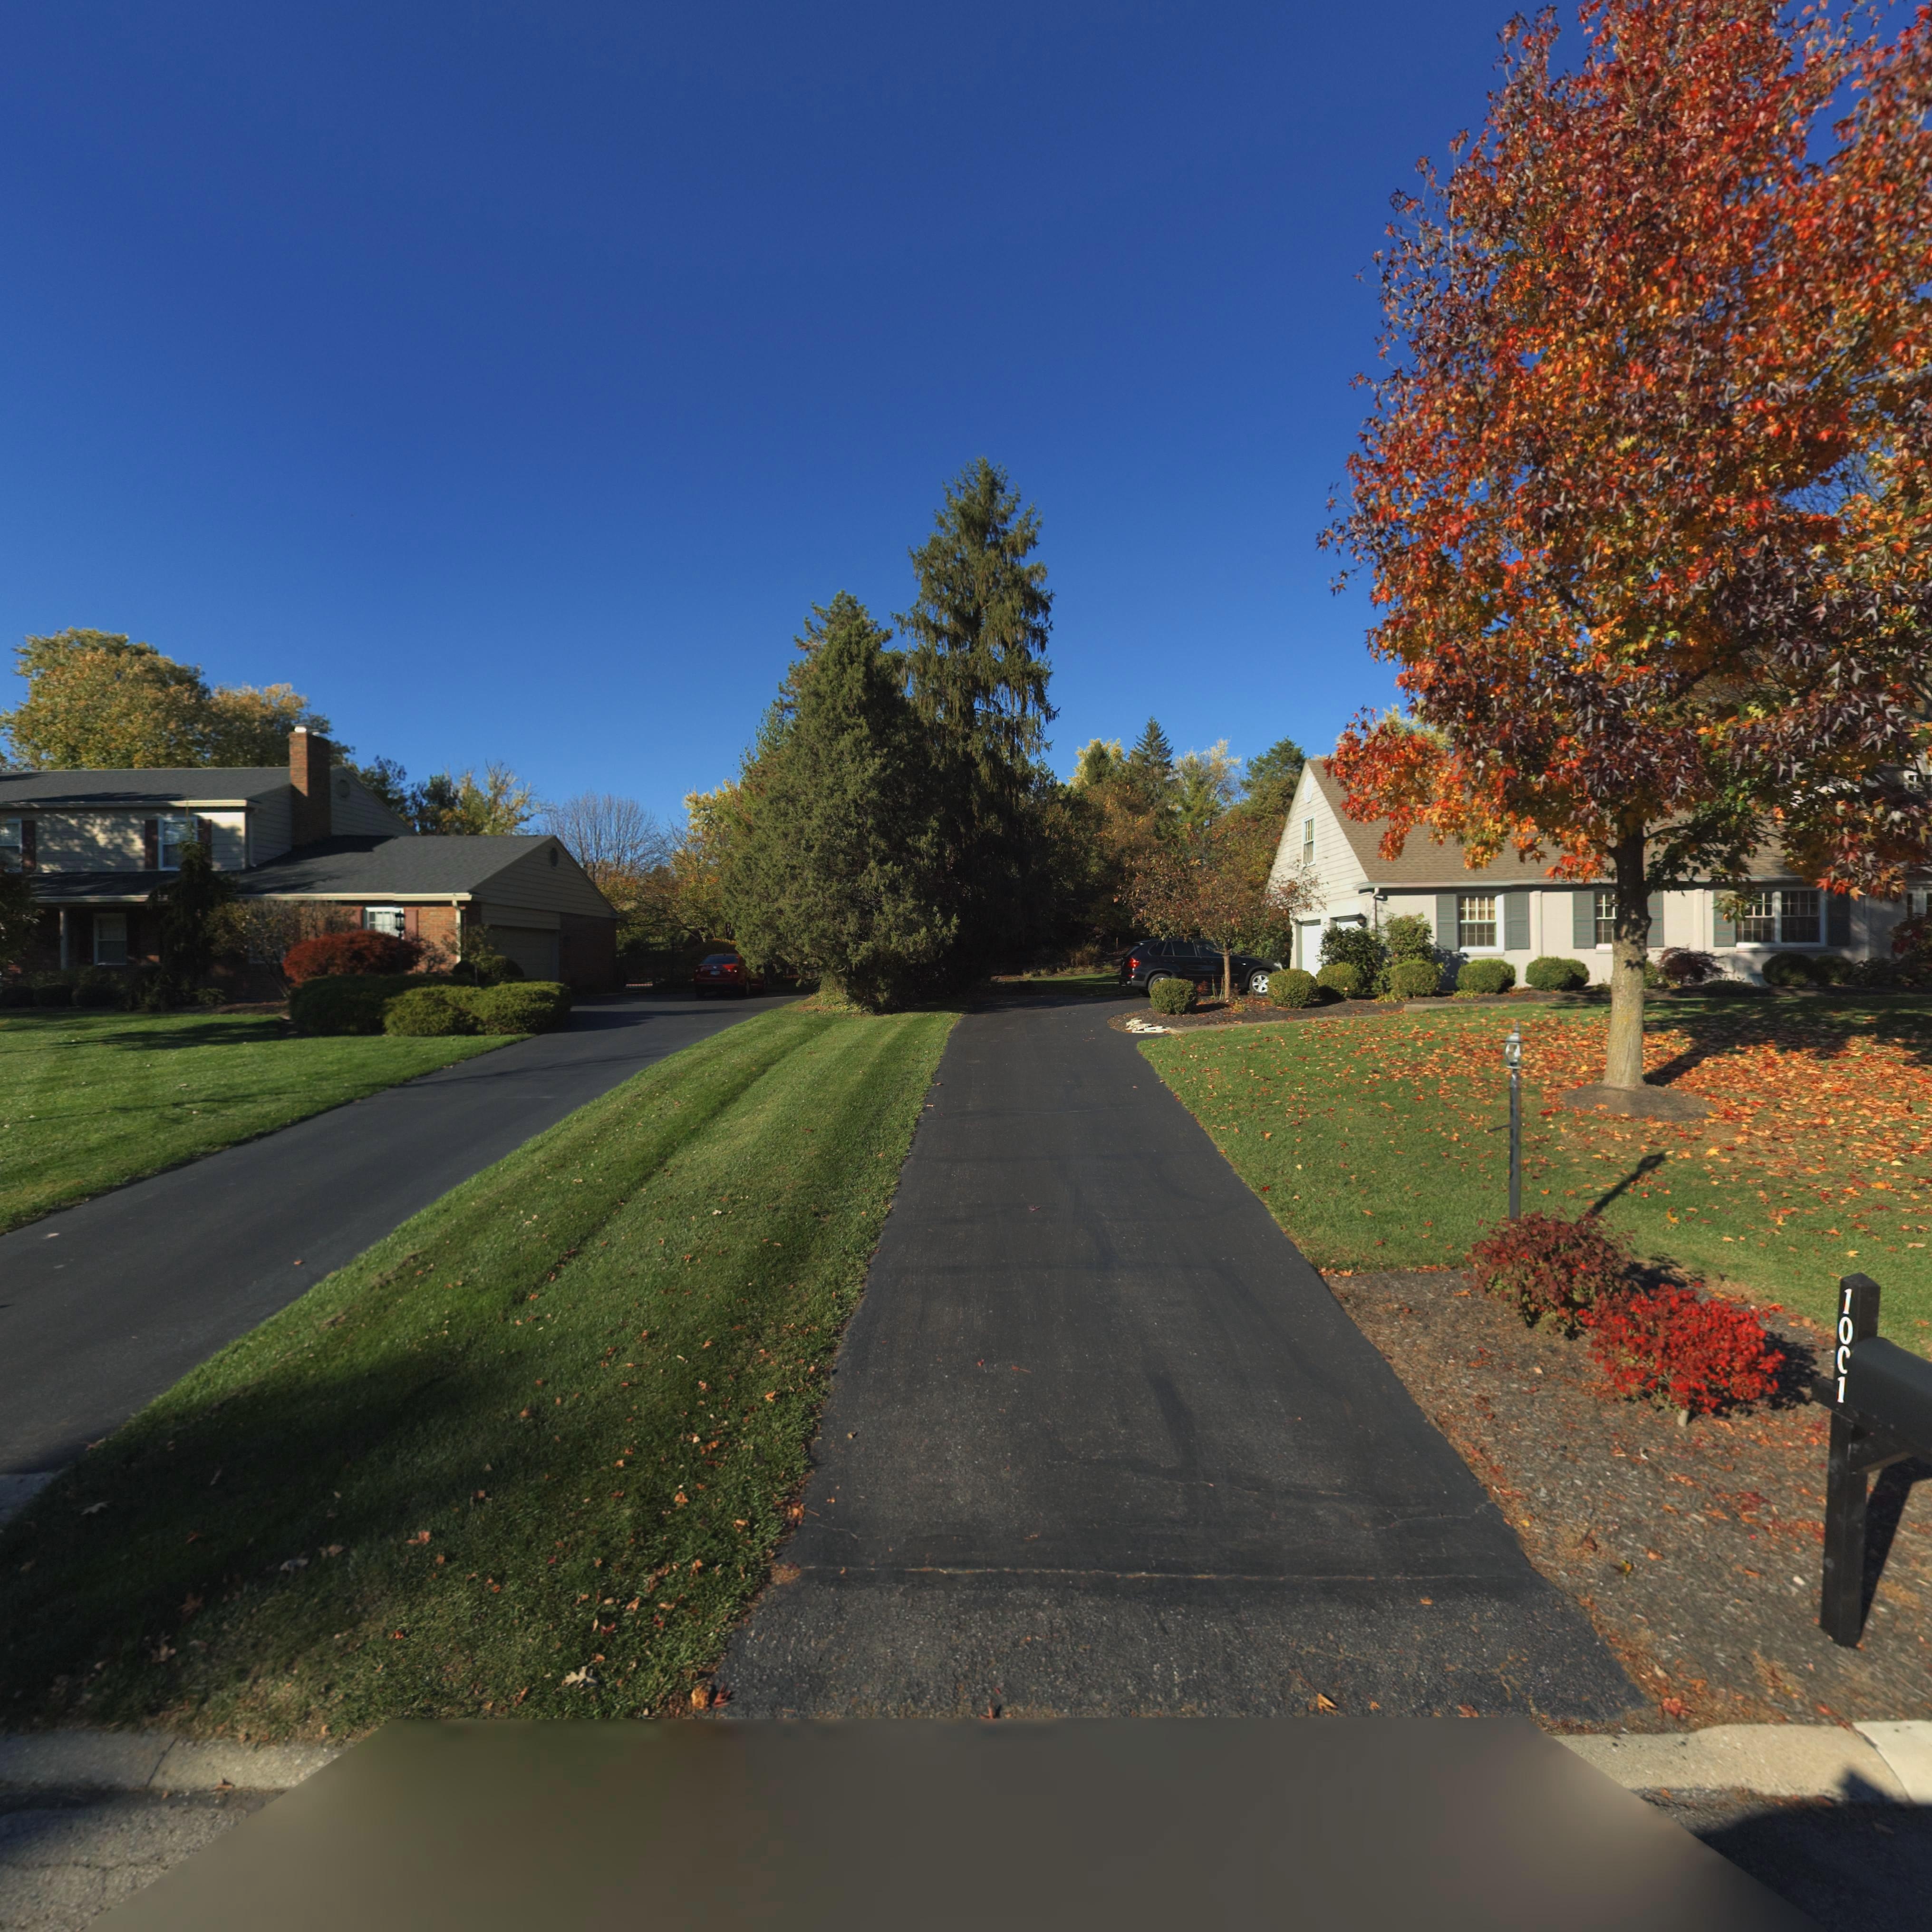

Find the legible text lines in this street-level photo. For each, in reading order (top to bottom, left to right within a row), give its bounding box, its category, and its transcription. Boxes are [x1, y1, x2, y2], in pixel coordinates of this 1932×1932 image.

[1835, 1285, 1855, 1405] StreetNumber: 10*1